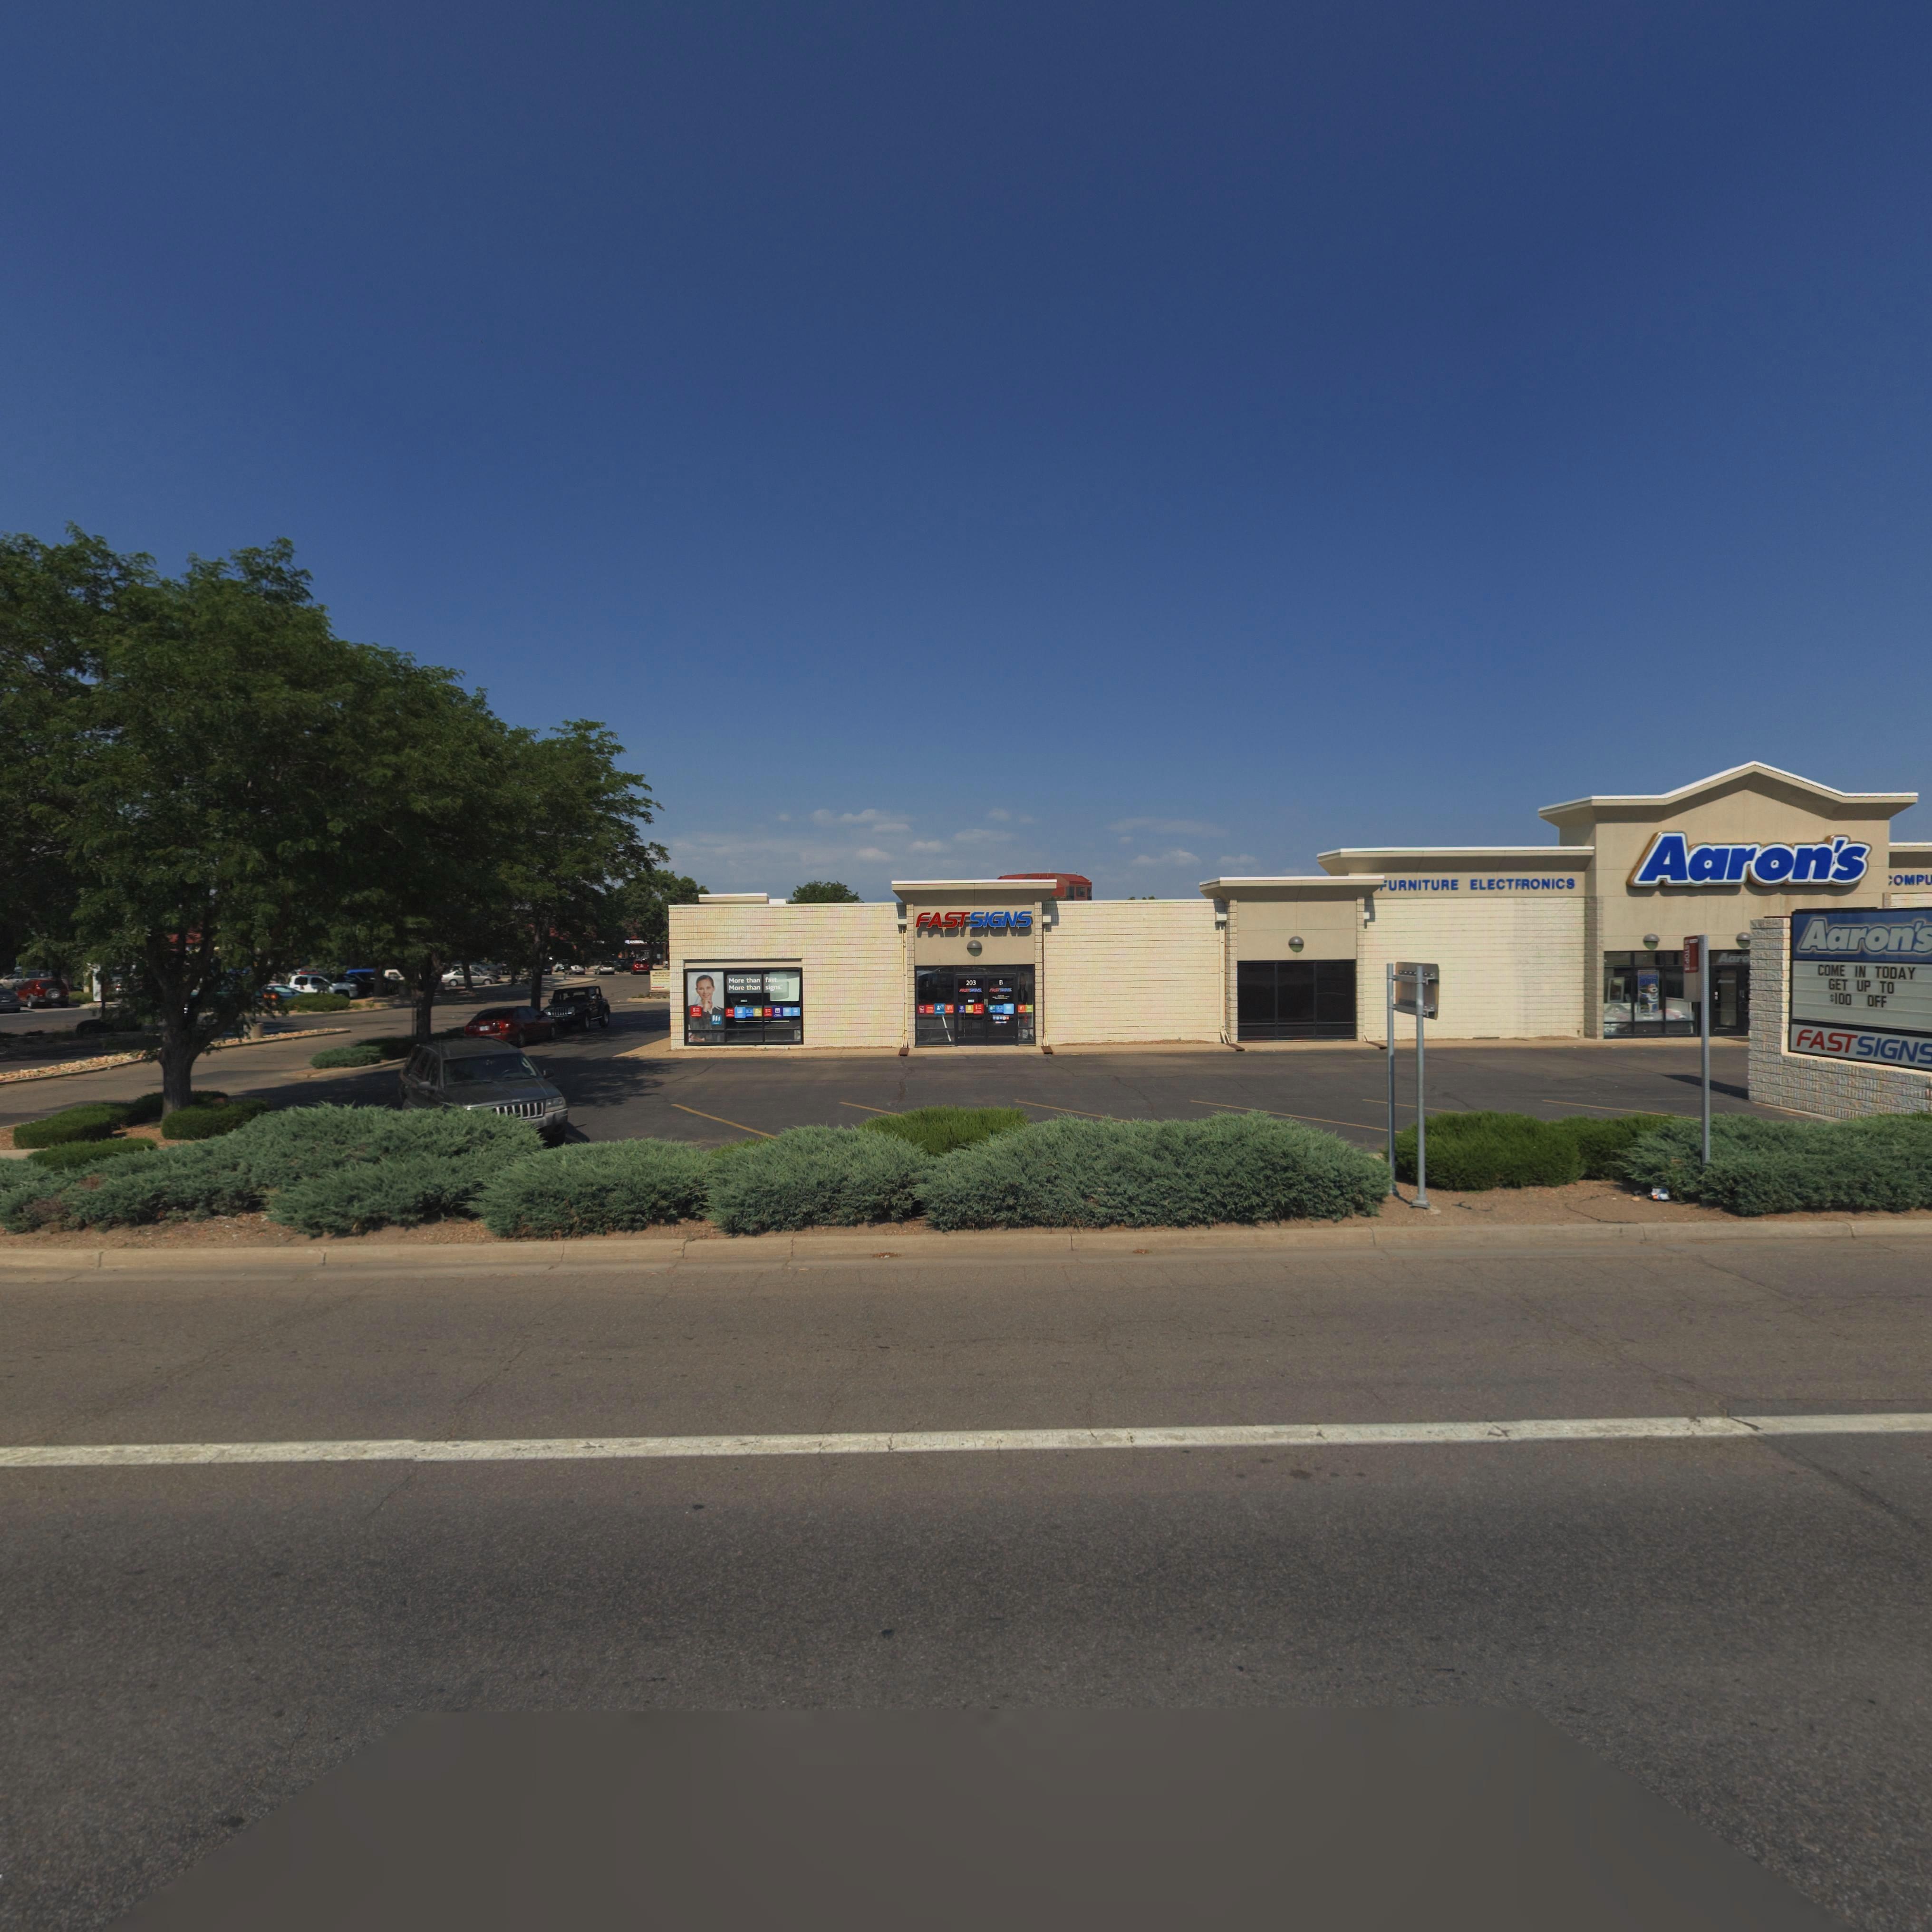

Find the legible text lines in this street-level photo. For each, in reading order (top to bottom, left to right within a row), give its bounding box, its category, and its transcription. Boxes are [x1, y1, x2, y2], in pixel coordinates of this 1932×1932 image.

[1625, 830, 1873, 886] BusinessName: Aaron's
[914, 909, 1034, 928] BusinessName: FASTSIGNS
[1797, 917, 1917, 953] BusinessName: Aaron
[1717, 952, 1750, 963] BusinessName: Aaro
[966, 979, 976, 985] StreetNumber: 203
[999, 979, 1003, 985] StreetNumber: B
[958, 987, 982, 992] BusinessName: FASTS***S
[988, 987, 1012, 992] BusinessName: FAST***S
[1796, 1028, 1921, 1063] BusinessName: FASTSIGN